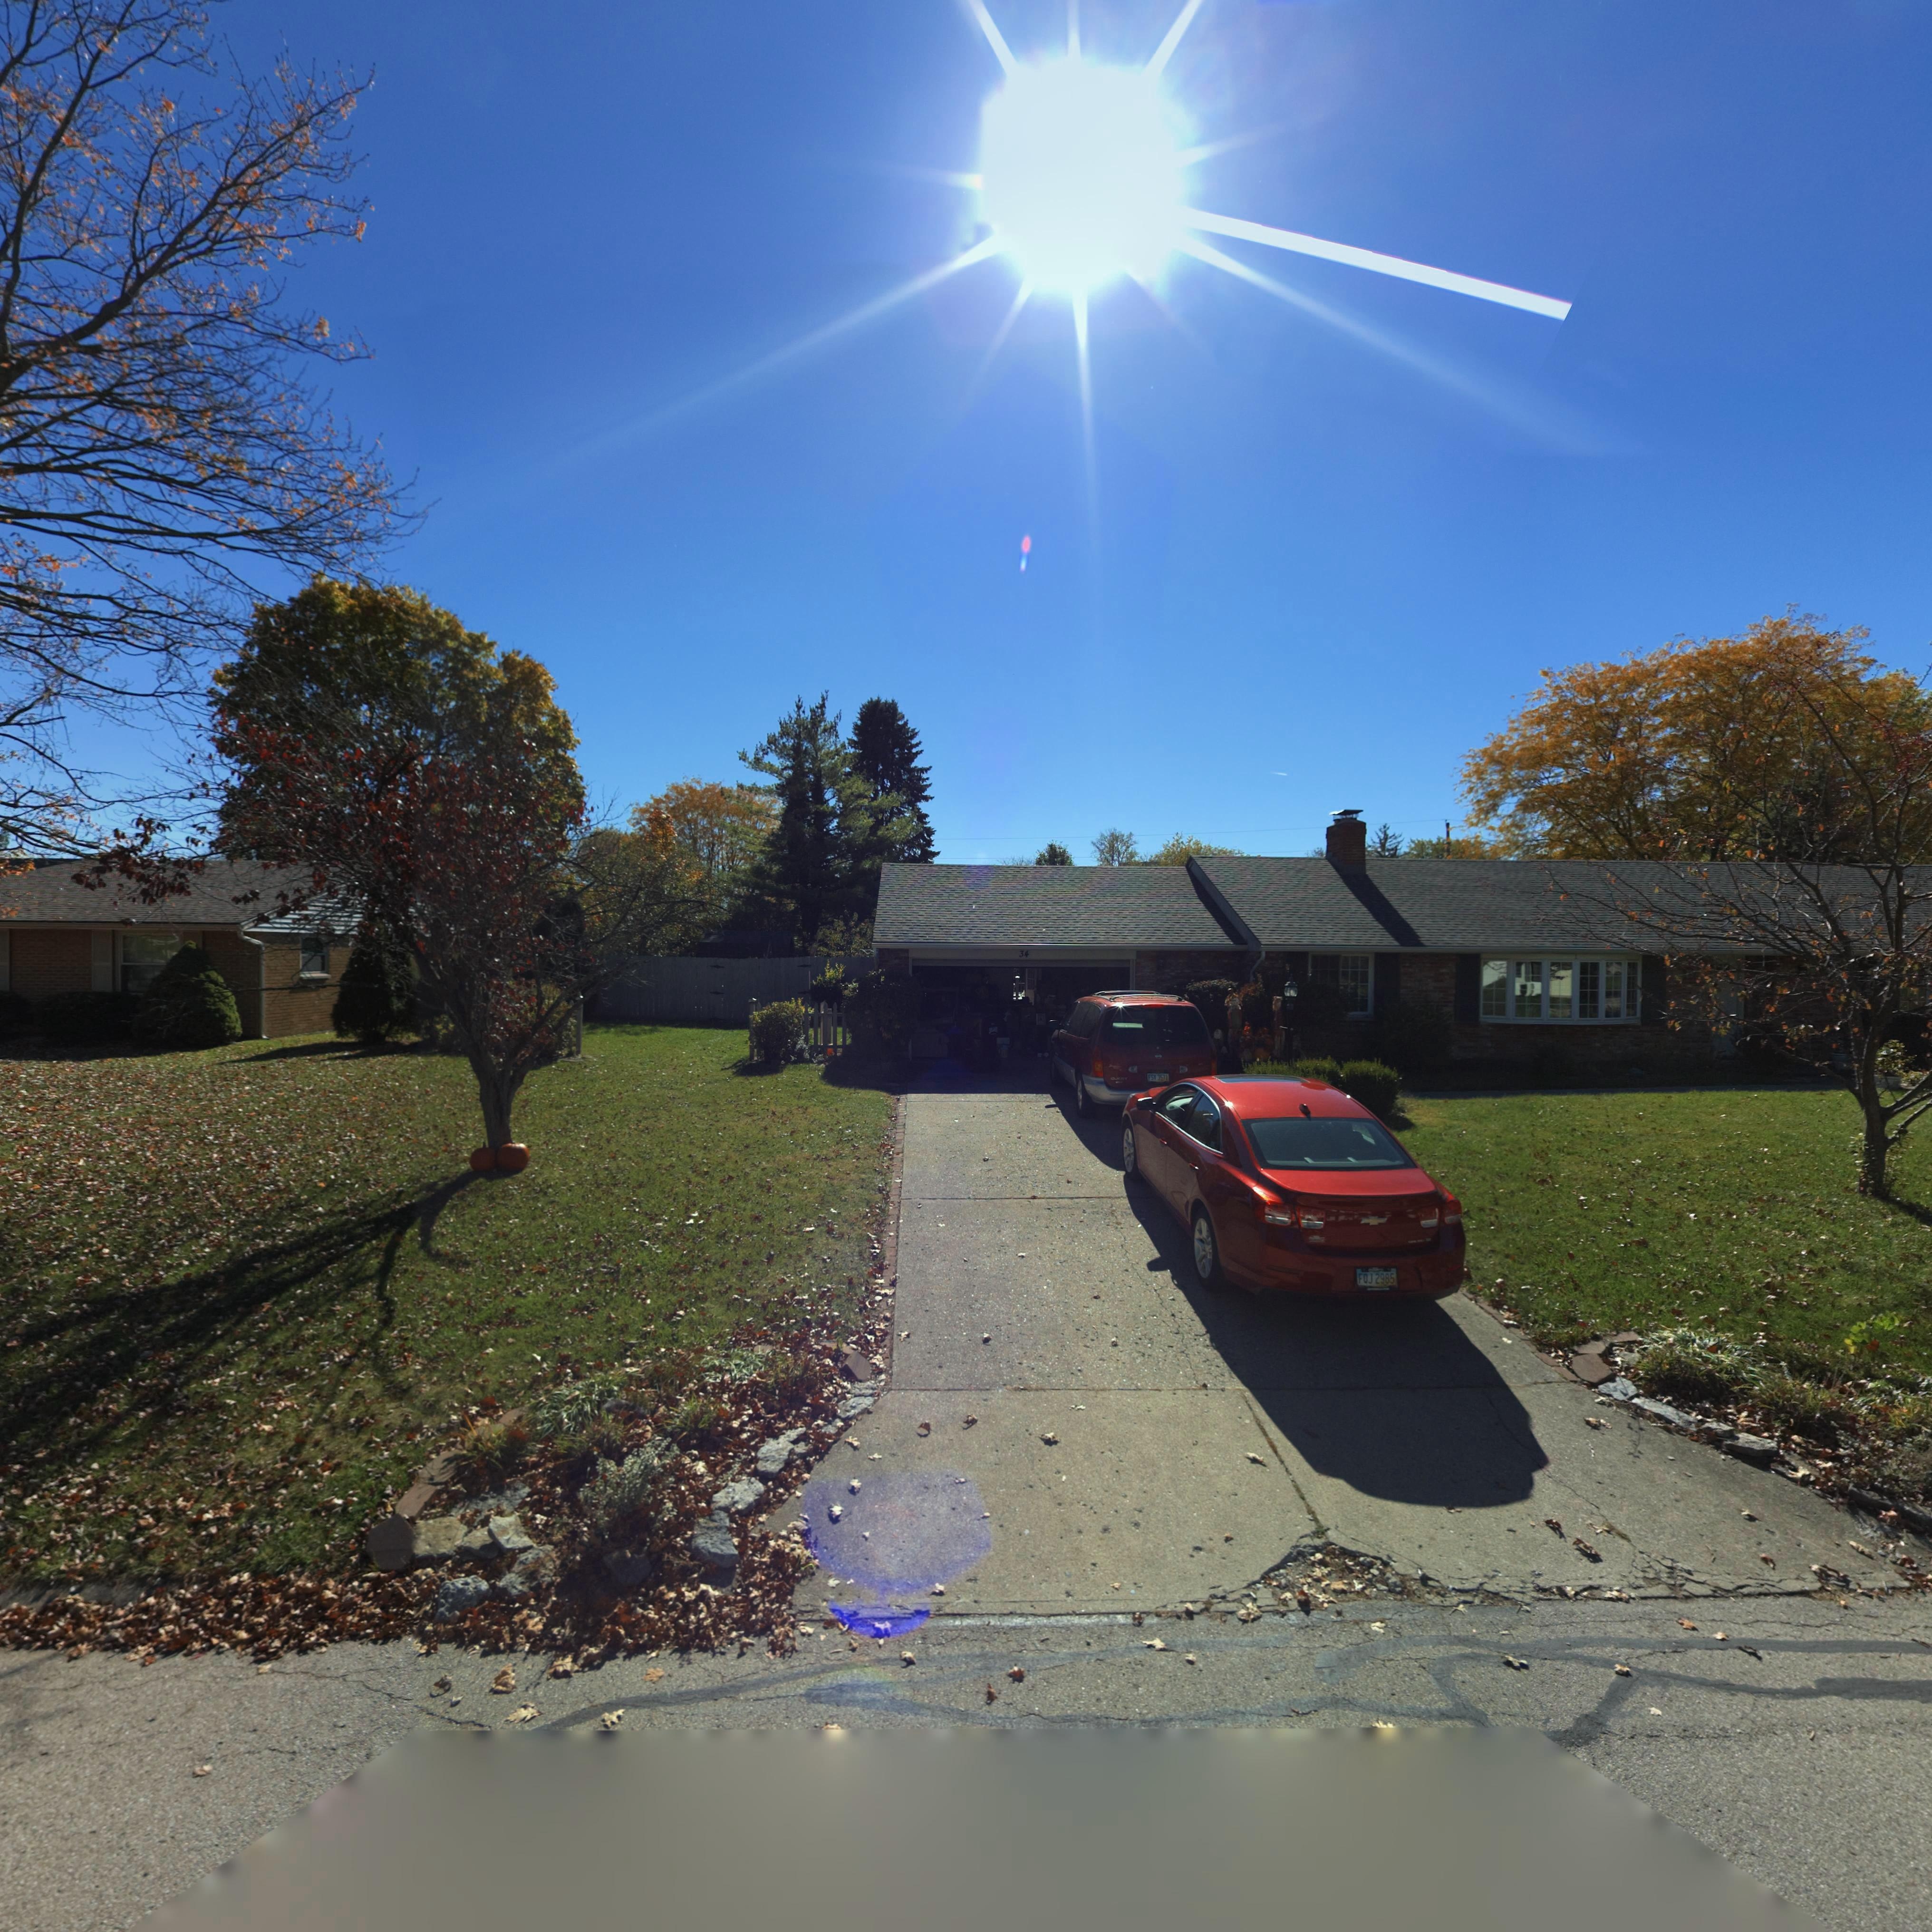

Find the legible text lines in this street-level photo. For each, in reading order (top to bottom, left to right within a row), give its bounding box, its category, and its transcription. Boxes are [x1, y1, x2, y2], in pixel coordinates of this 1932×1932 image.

[1018, 949, 1030, 958] StreetNumber: 34